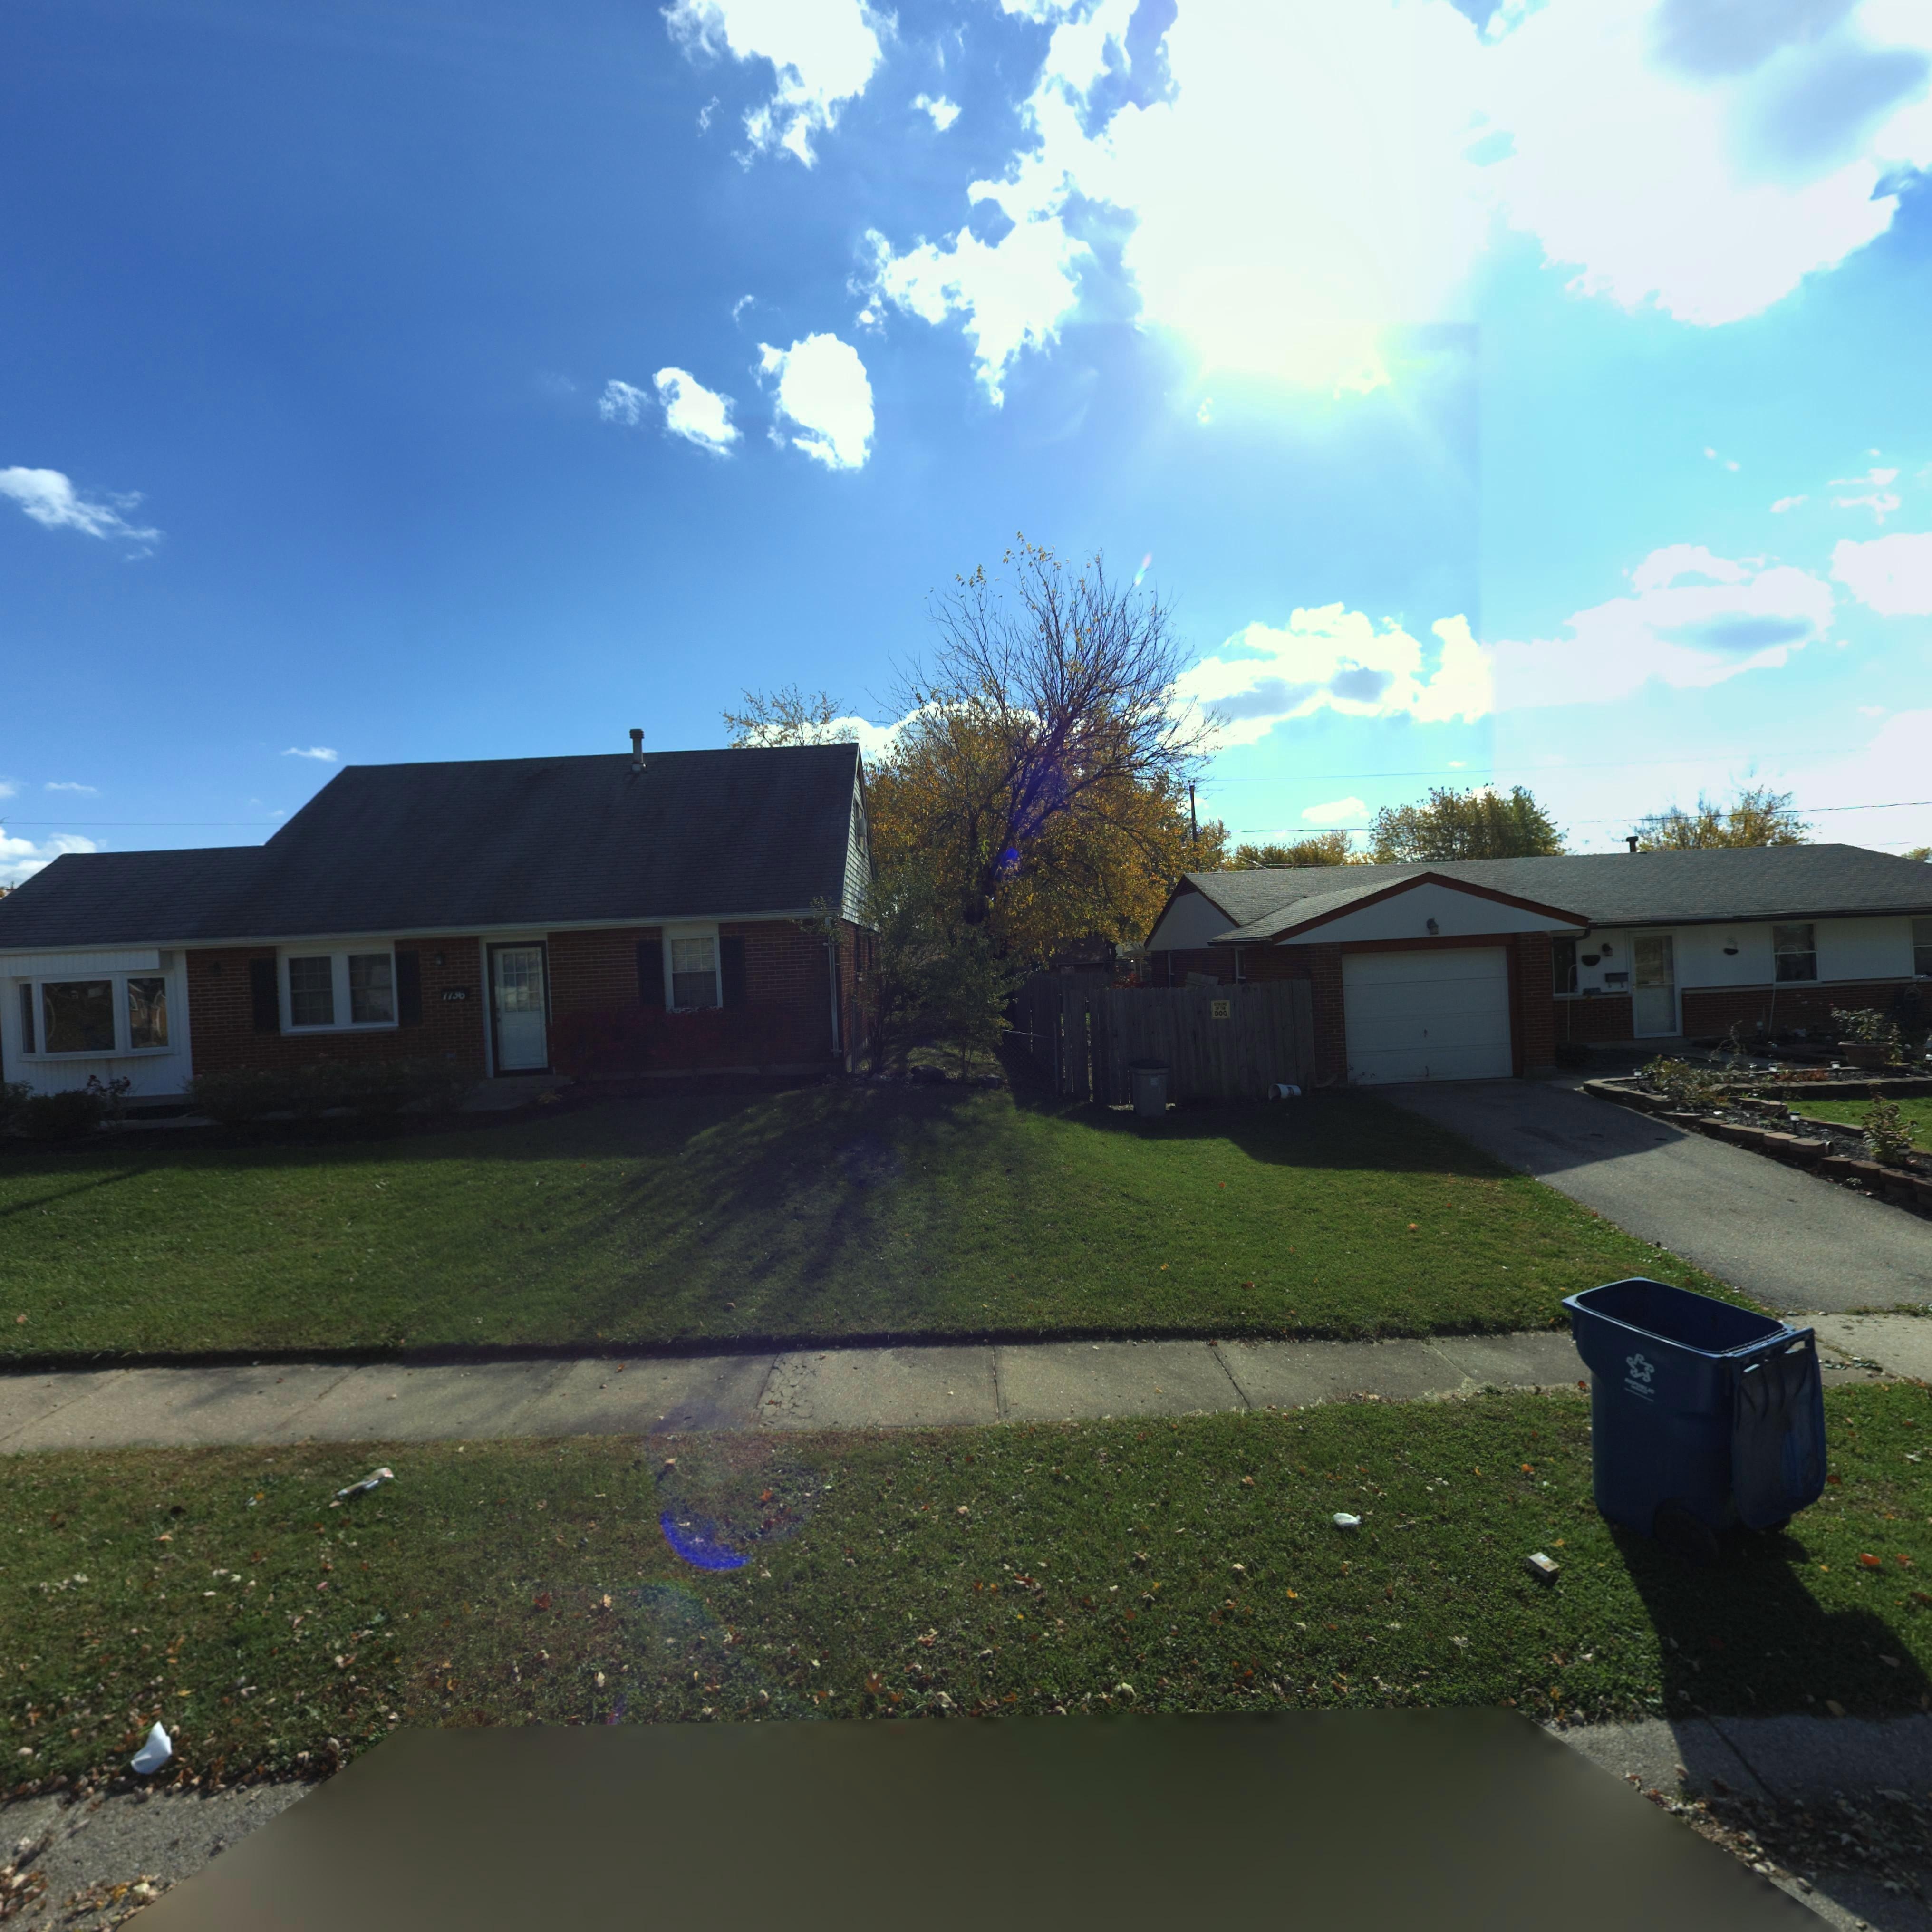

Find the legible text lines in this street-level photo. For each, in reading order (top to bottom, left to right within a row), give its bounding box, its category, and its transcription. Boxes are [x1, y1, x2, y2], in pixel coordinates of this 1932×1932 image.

[441, 990, 466, 1001] StreetNumber: 7736
[1593, 988, 1597, 994] StreetNumber: 3